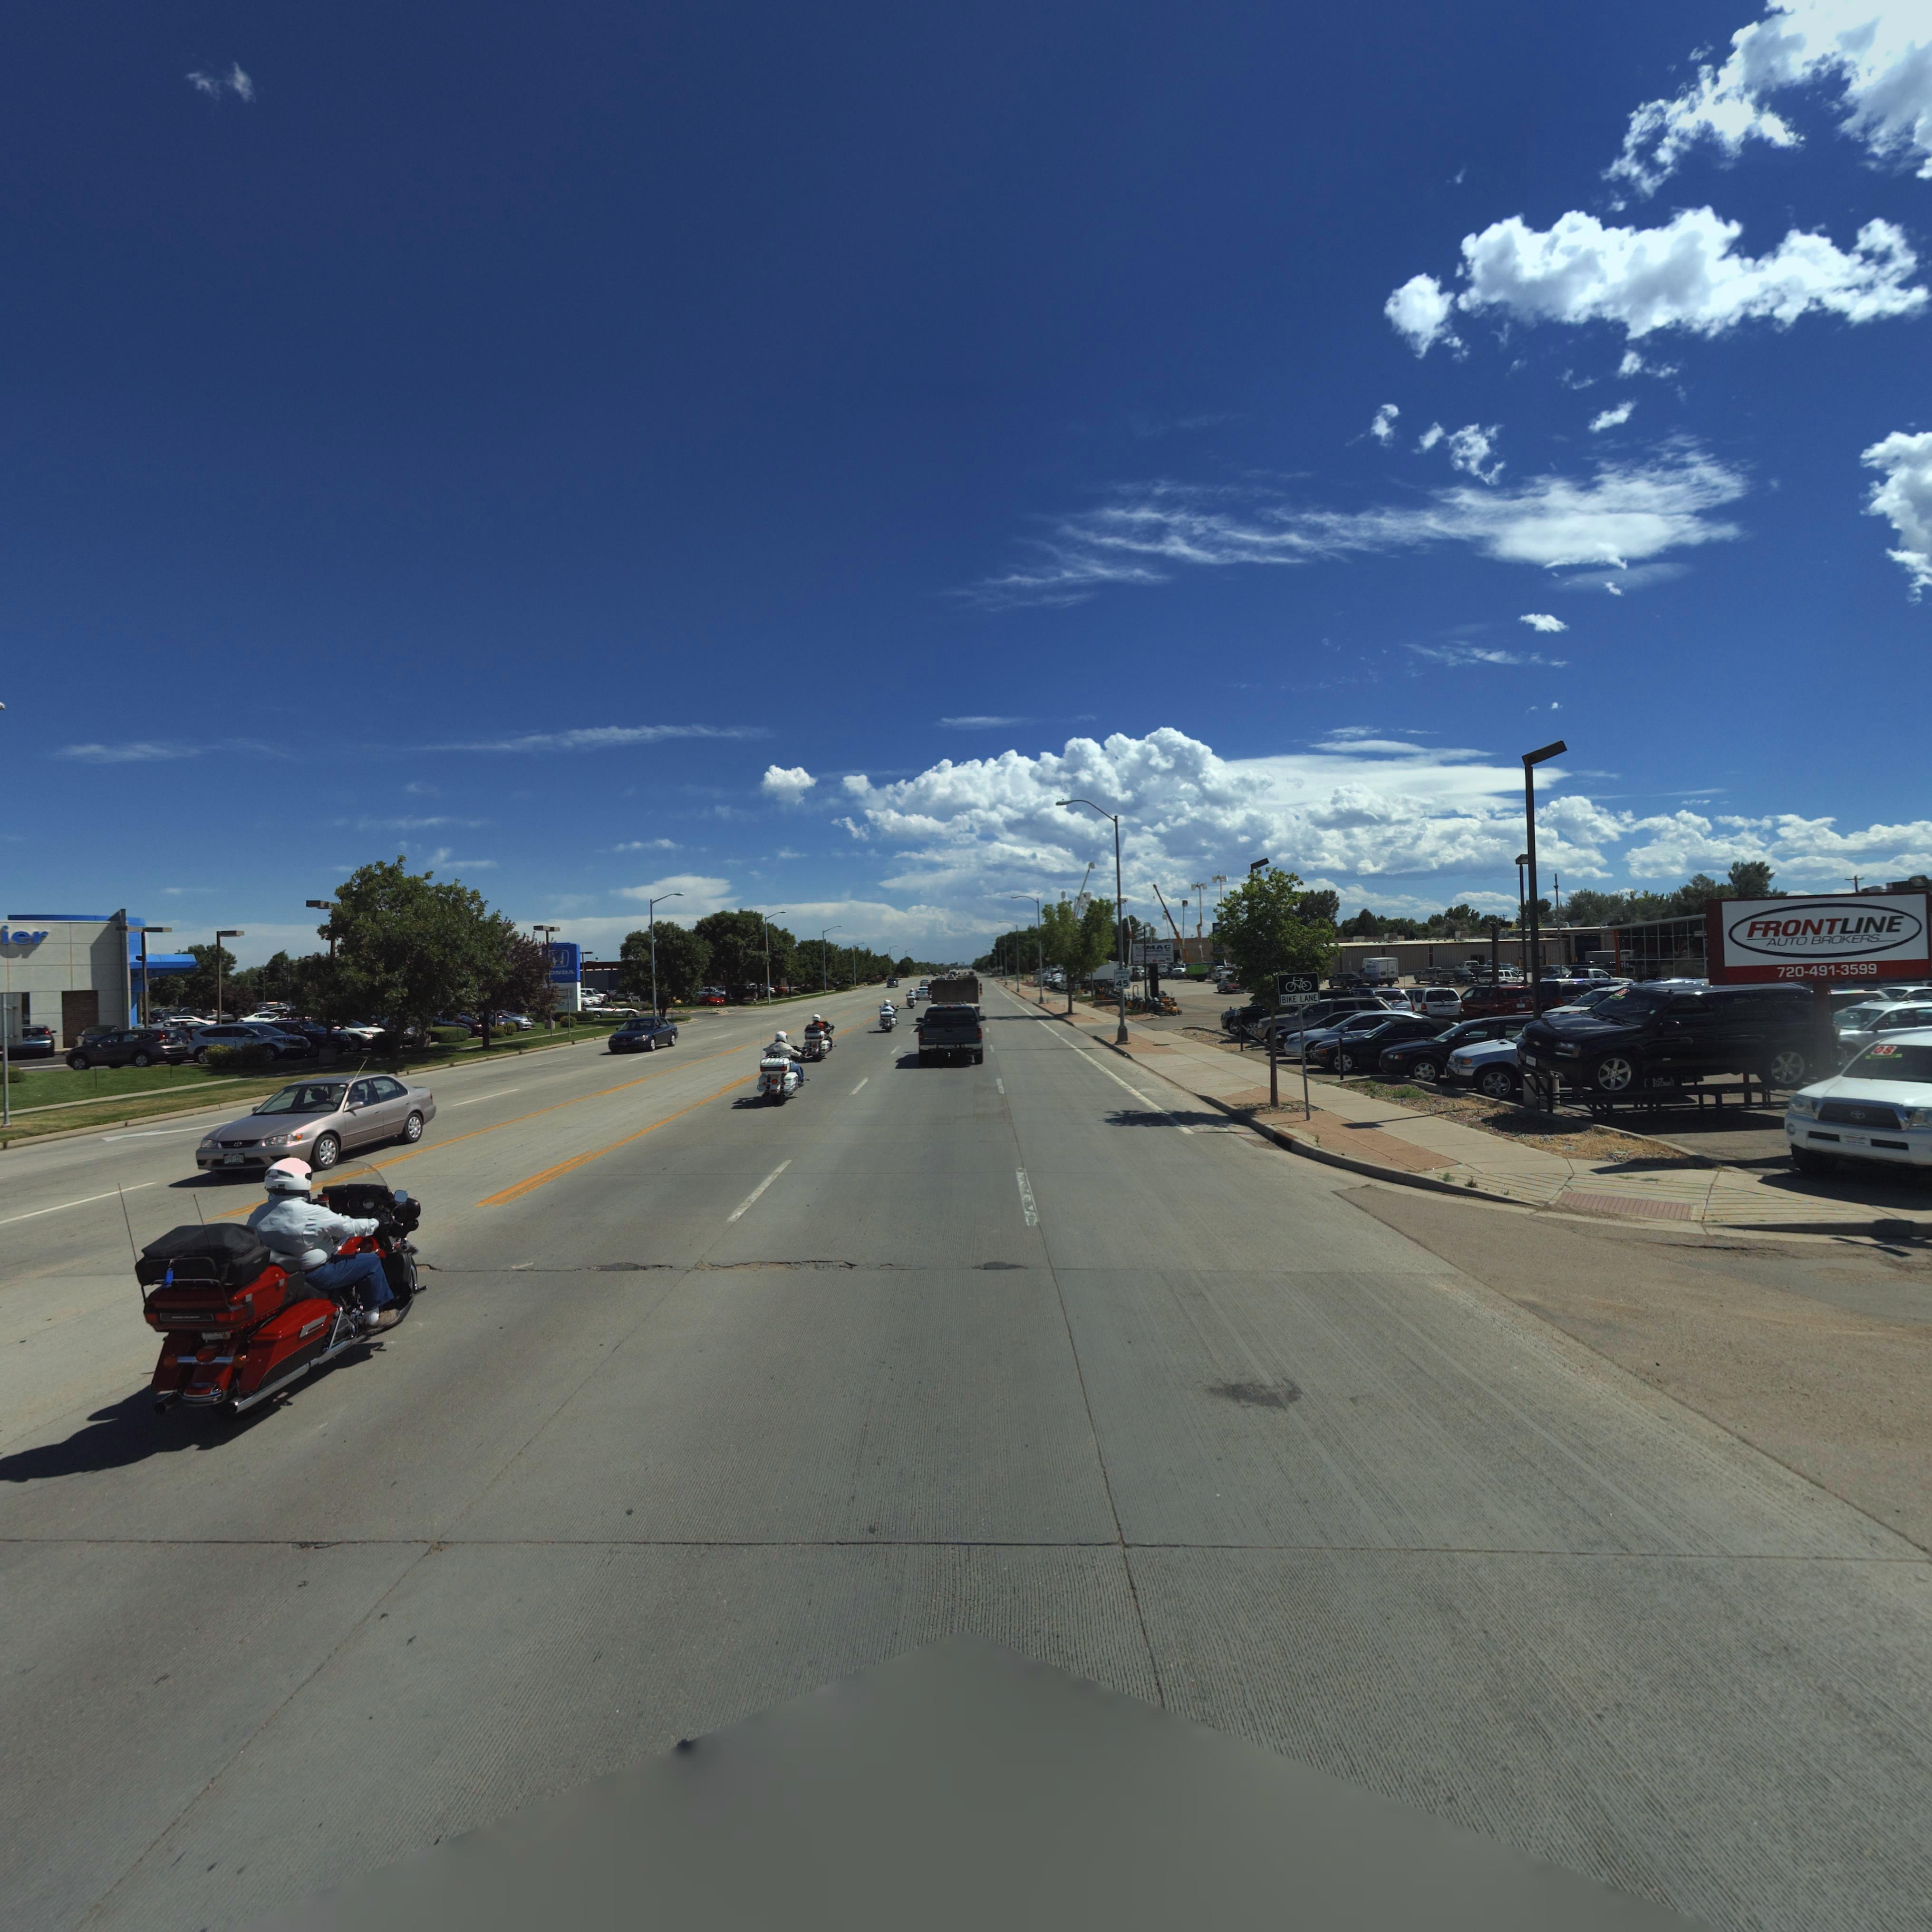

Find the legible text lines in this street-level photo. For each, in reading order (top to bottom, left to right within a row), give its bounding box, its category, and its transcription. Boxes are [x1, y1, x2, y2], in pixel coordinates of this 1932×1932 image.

[1, 925, 49, 944] BusinessName: ier
[1746, 915, 1904, 938] BusinessName: FRONTLINE
[1146, 945, 1171, 949] BusinessName: MAC
[550, 970, 575, 975] BusinessName: ONDA